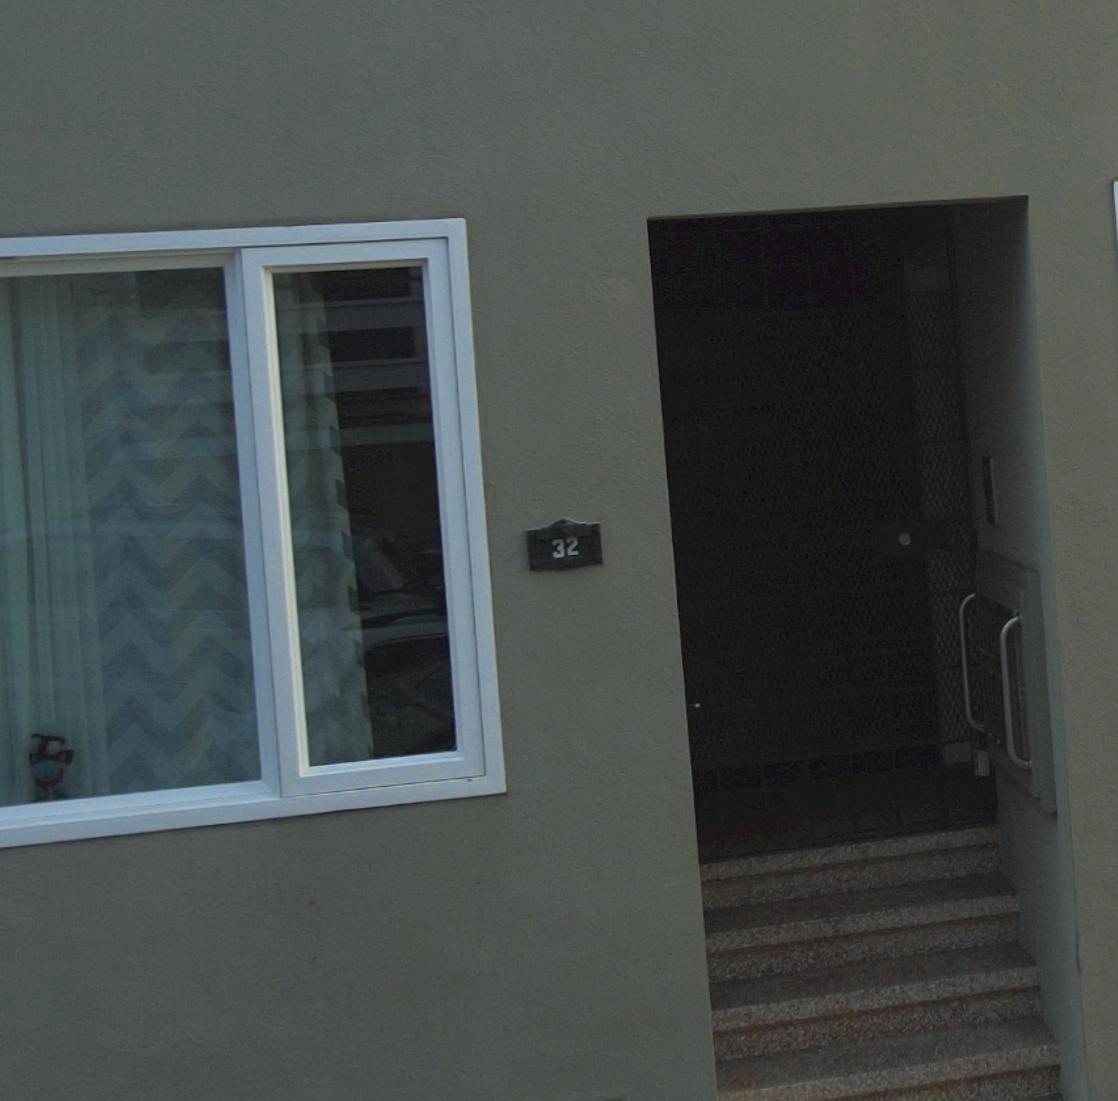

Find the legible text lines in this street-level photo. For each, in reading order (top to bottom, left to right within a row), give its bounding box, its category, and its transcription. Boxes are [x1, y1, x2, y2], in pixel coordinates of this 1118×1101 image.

[550, 535, 581, 560] StreetNumber: 32